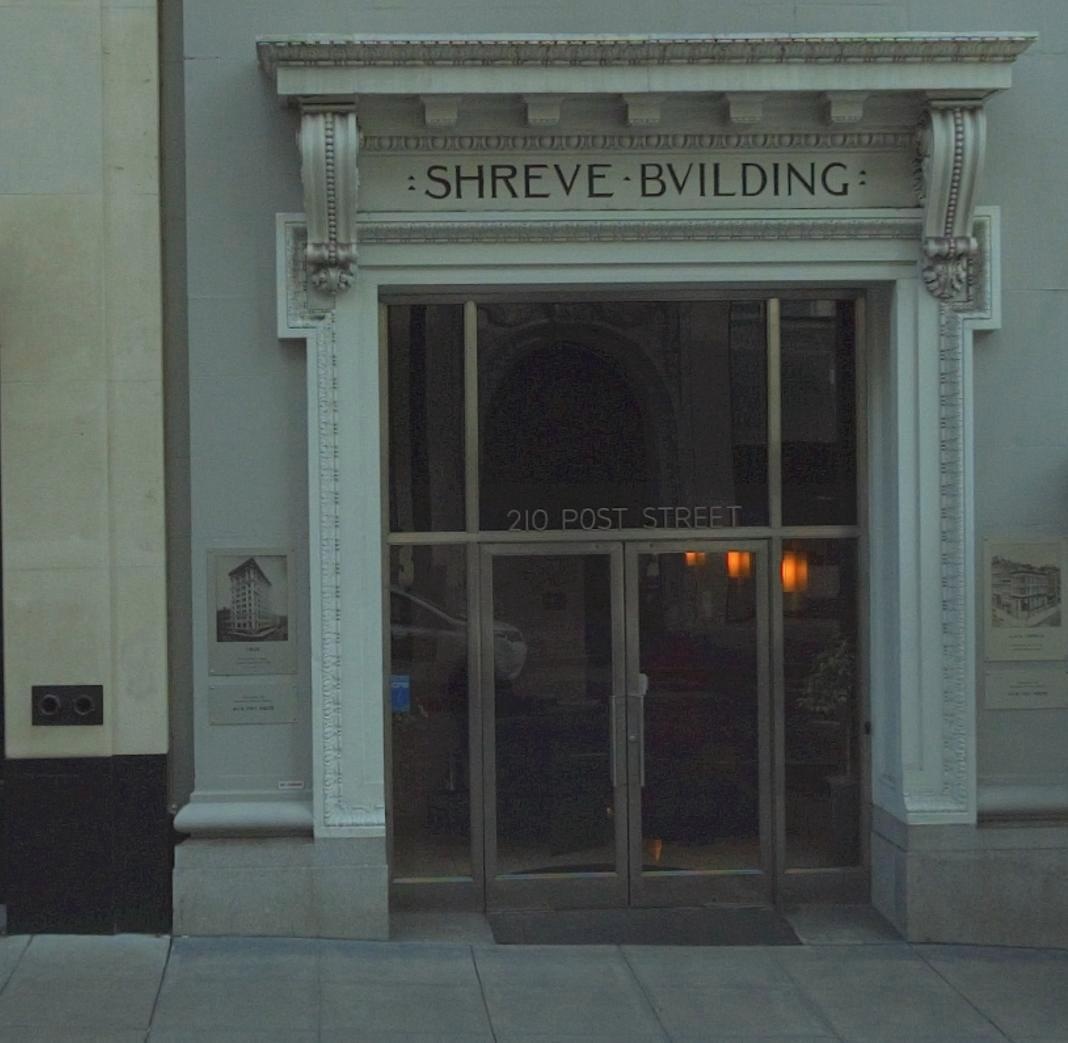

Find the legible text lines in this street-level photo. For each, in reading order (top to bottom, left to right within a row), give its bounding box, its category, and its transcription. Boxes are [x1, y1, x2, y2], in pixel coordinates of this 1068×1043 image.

[419, 155, 855, 204] BusinessName: SHREVE BVILDING
[505, 505, 552, 535] StreetNumber: 210
[558, 502, 746, 534] StreetName: POST STREET